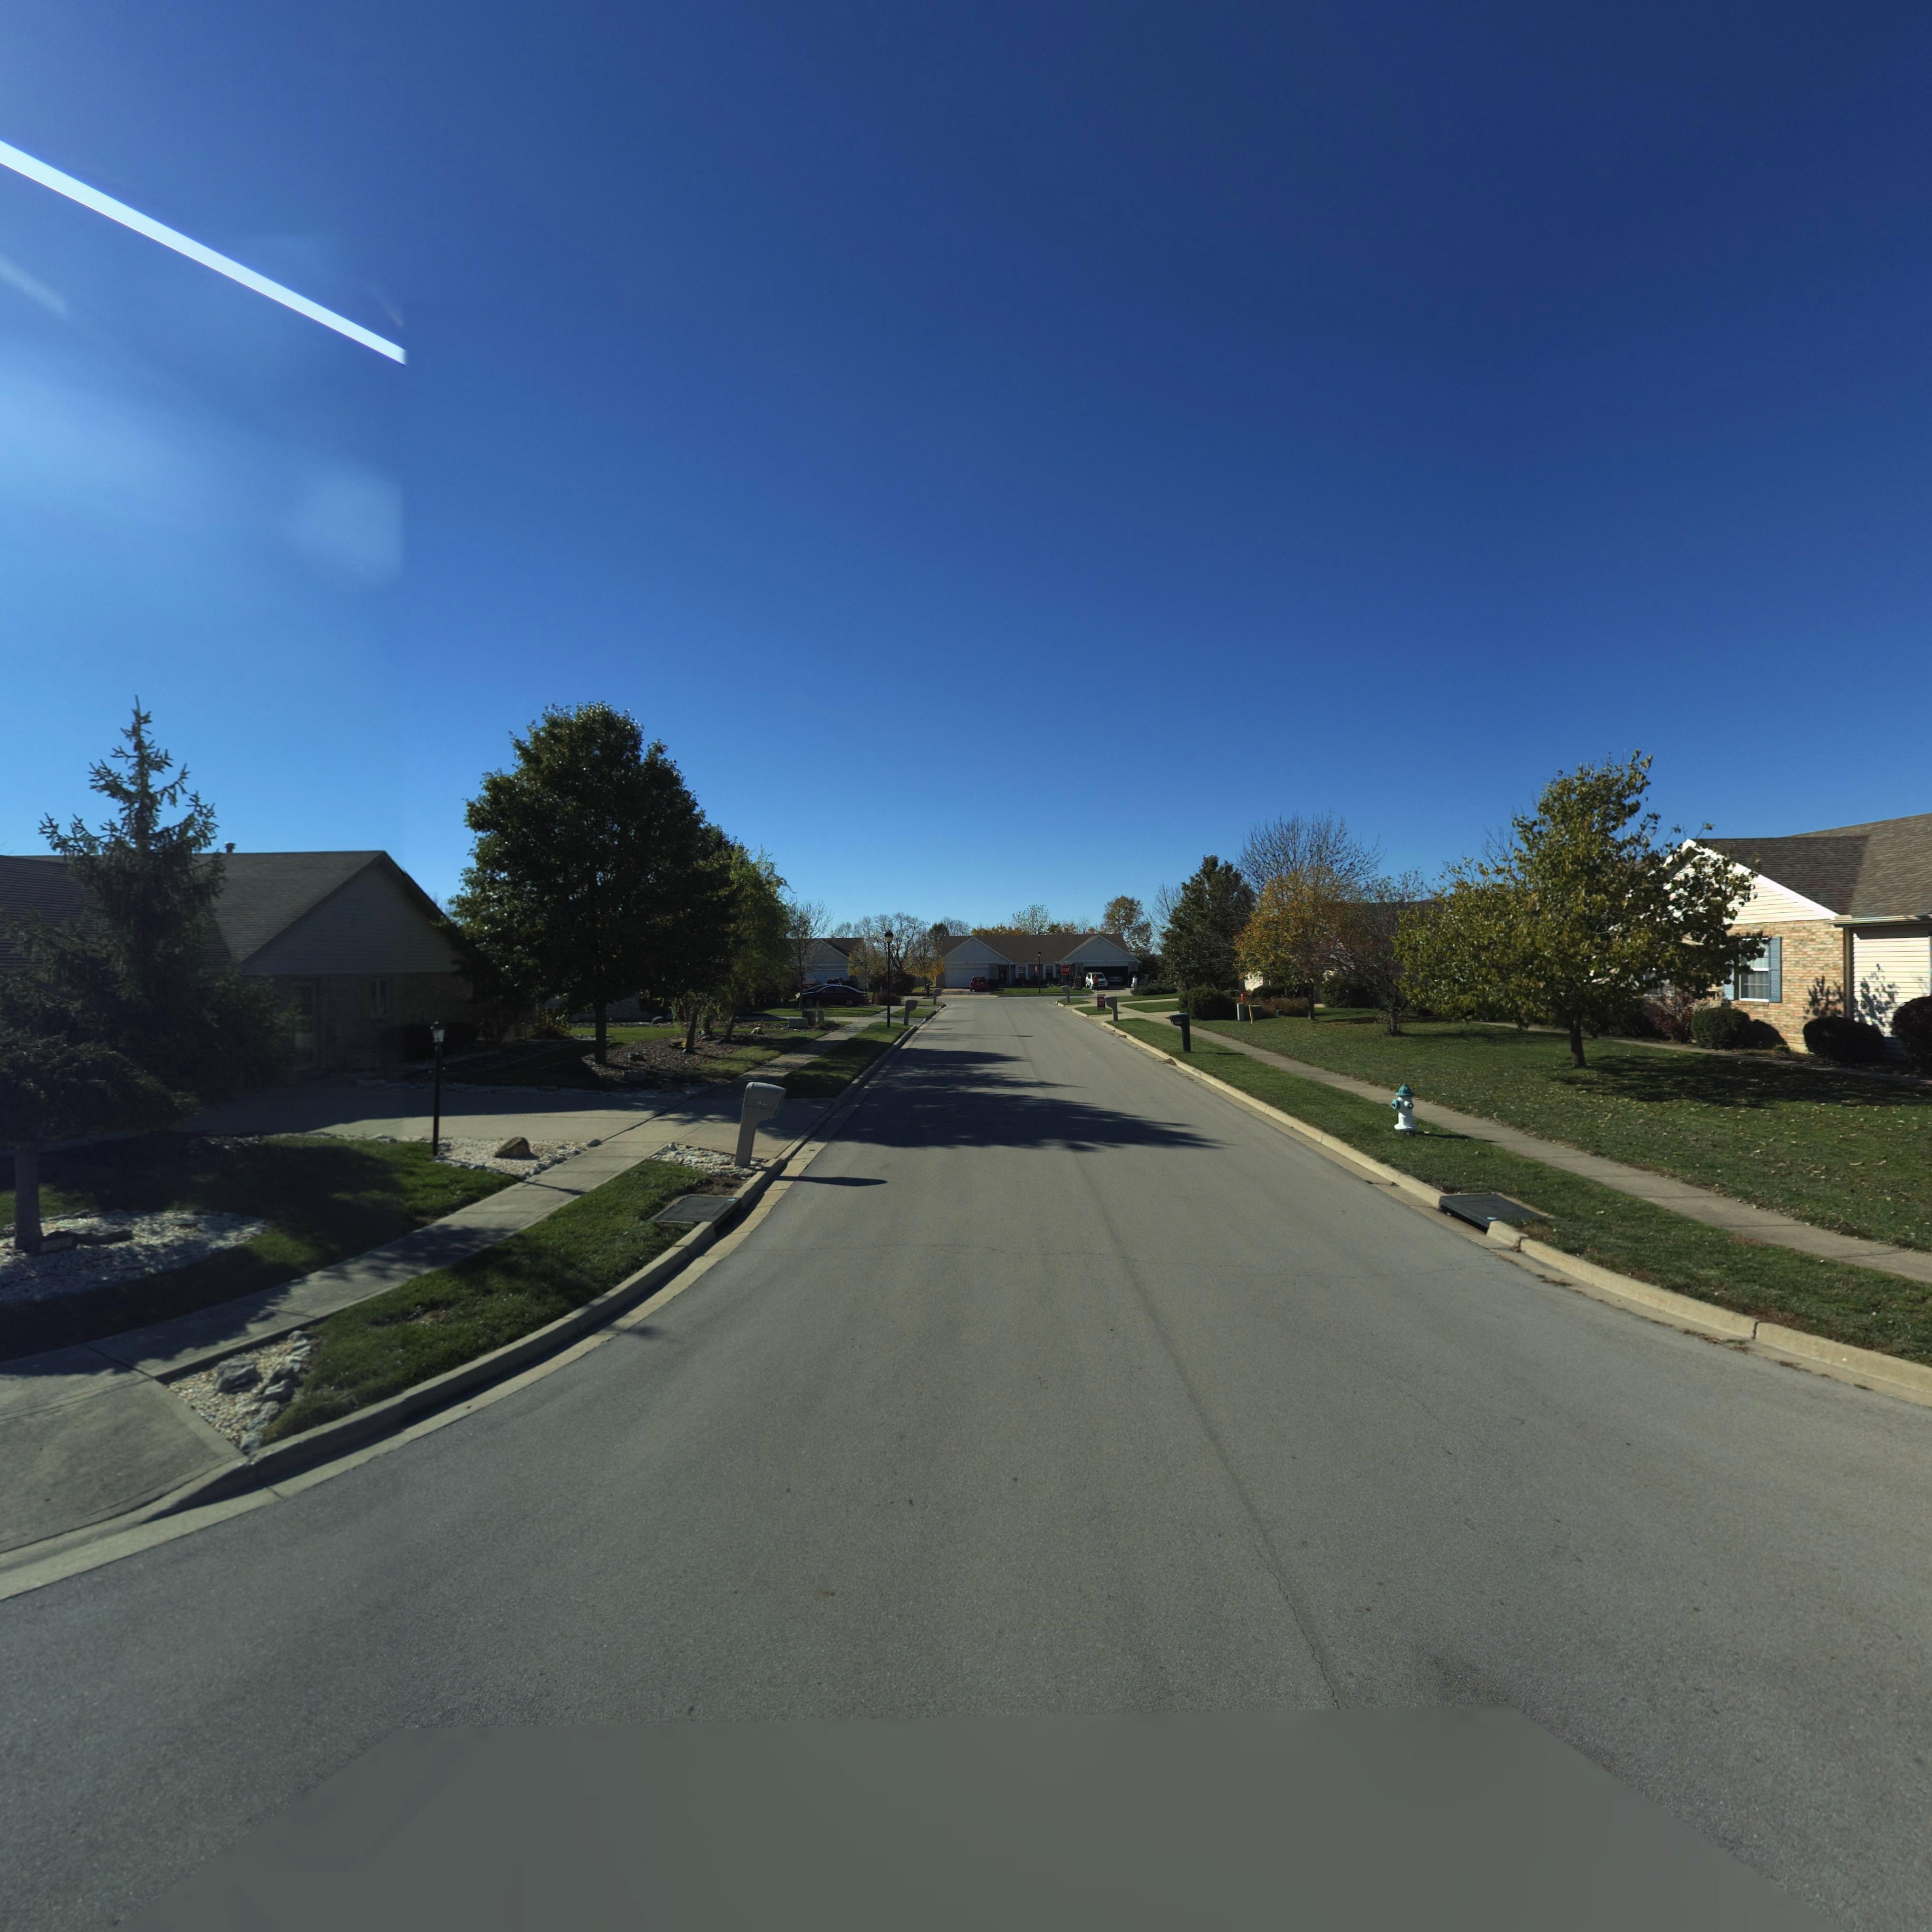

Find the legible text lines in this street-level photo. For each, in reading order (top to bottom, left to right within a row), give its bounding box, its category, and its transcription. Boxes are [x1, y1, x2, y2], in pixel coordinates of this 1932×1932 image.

[756, 1100, 768, 1107] StreetNumber: 10**